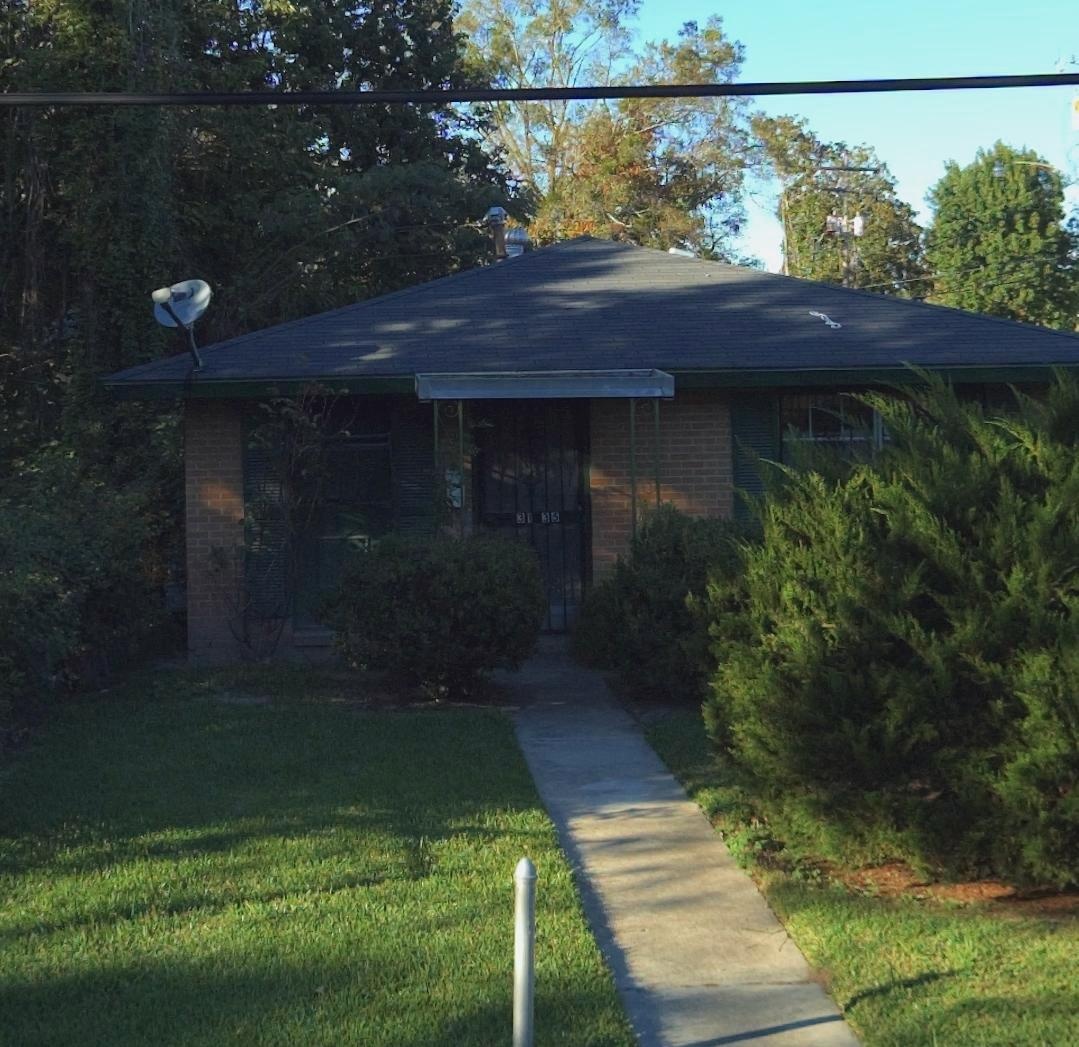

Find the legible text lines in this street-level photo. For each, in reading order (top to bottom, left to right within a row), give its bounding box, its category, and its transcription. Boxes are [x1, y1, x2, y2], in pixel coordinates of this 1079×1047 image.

[516, 510, 561, 525] StreetNumber: 3* 35